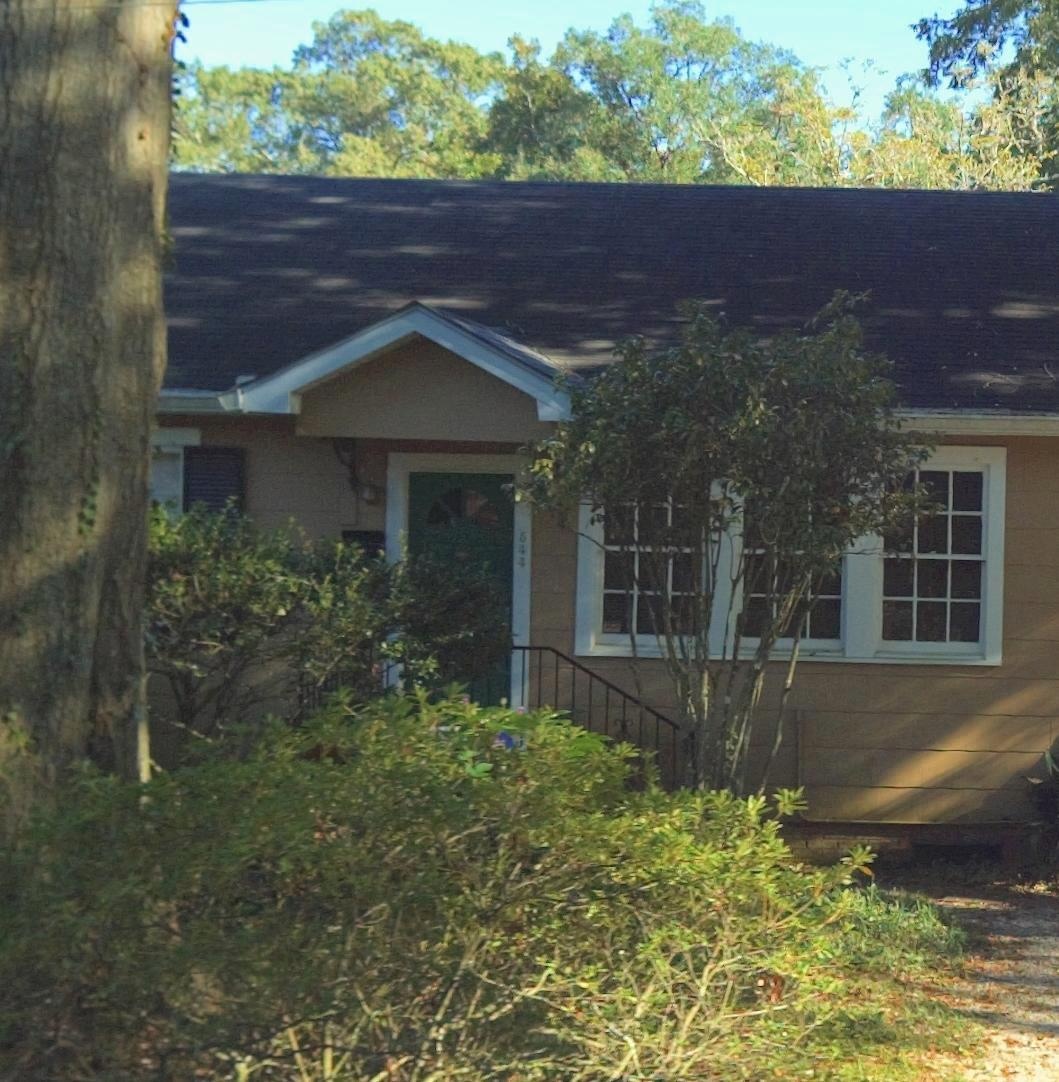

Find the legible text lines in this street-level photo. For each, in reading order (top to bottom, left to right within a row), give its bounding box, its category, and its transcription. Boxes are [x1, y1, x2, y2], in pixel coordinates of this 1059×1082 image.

[514, 529, 529, 571] StreetNumber: 544